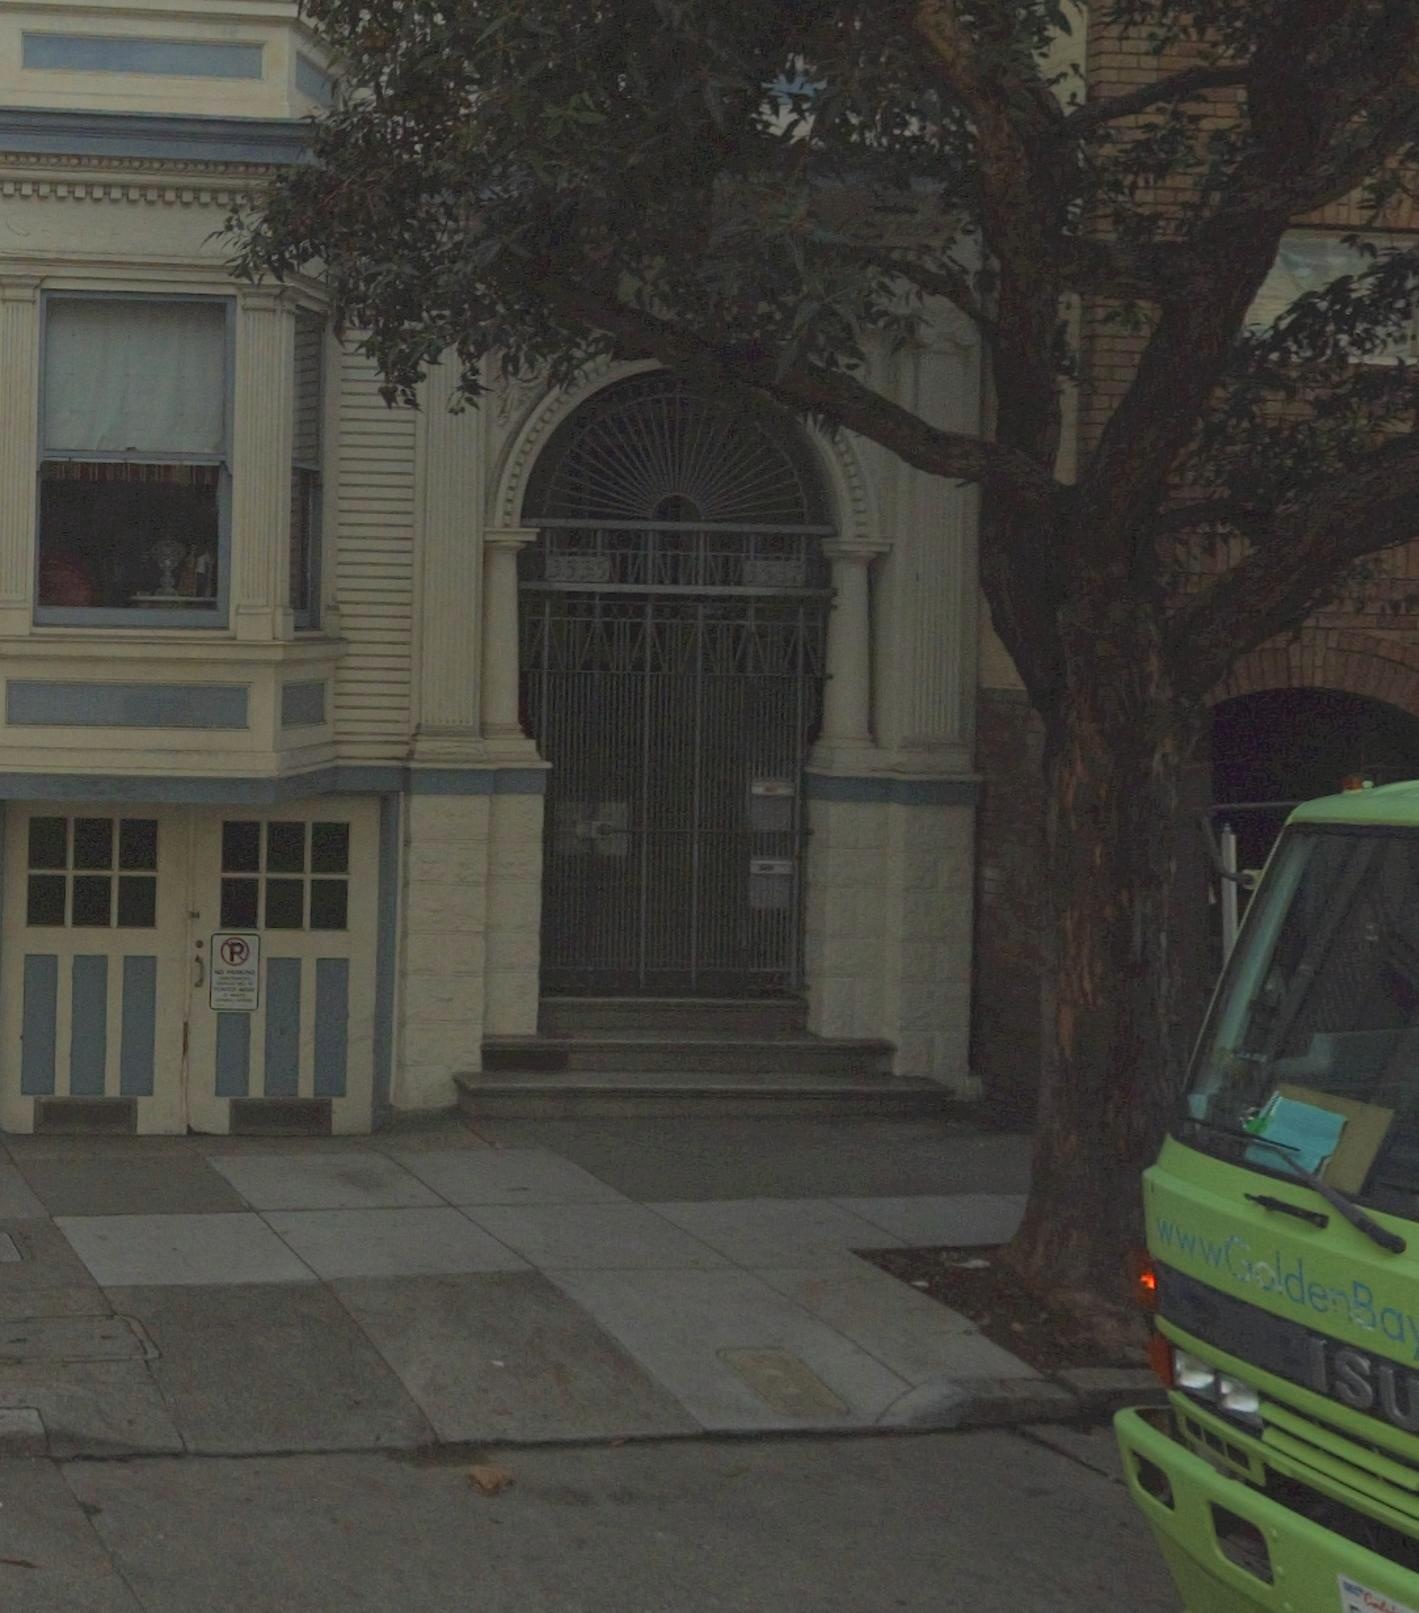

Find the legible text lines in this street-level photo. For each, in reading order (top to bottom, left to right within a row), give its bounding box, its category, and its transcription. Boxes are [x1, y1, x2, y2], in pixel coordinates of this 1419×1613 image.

[544, 555, 610, 583] StreetNumber: 3535
[742, 560, 804, 586] StreetNumber: 3537
[1153, 1213, 1409, 1347] None: wwwGoldenBa
[1303, 1327, 1419, 1438] None: ISU